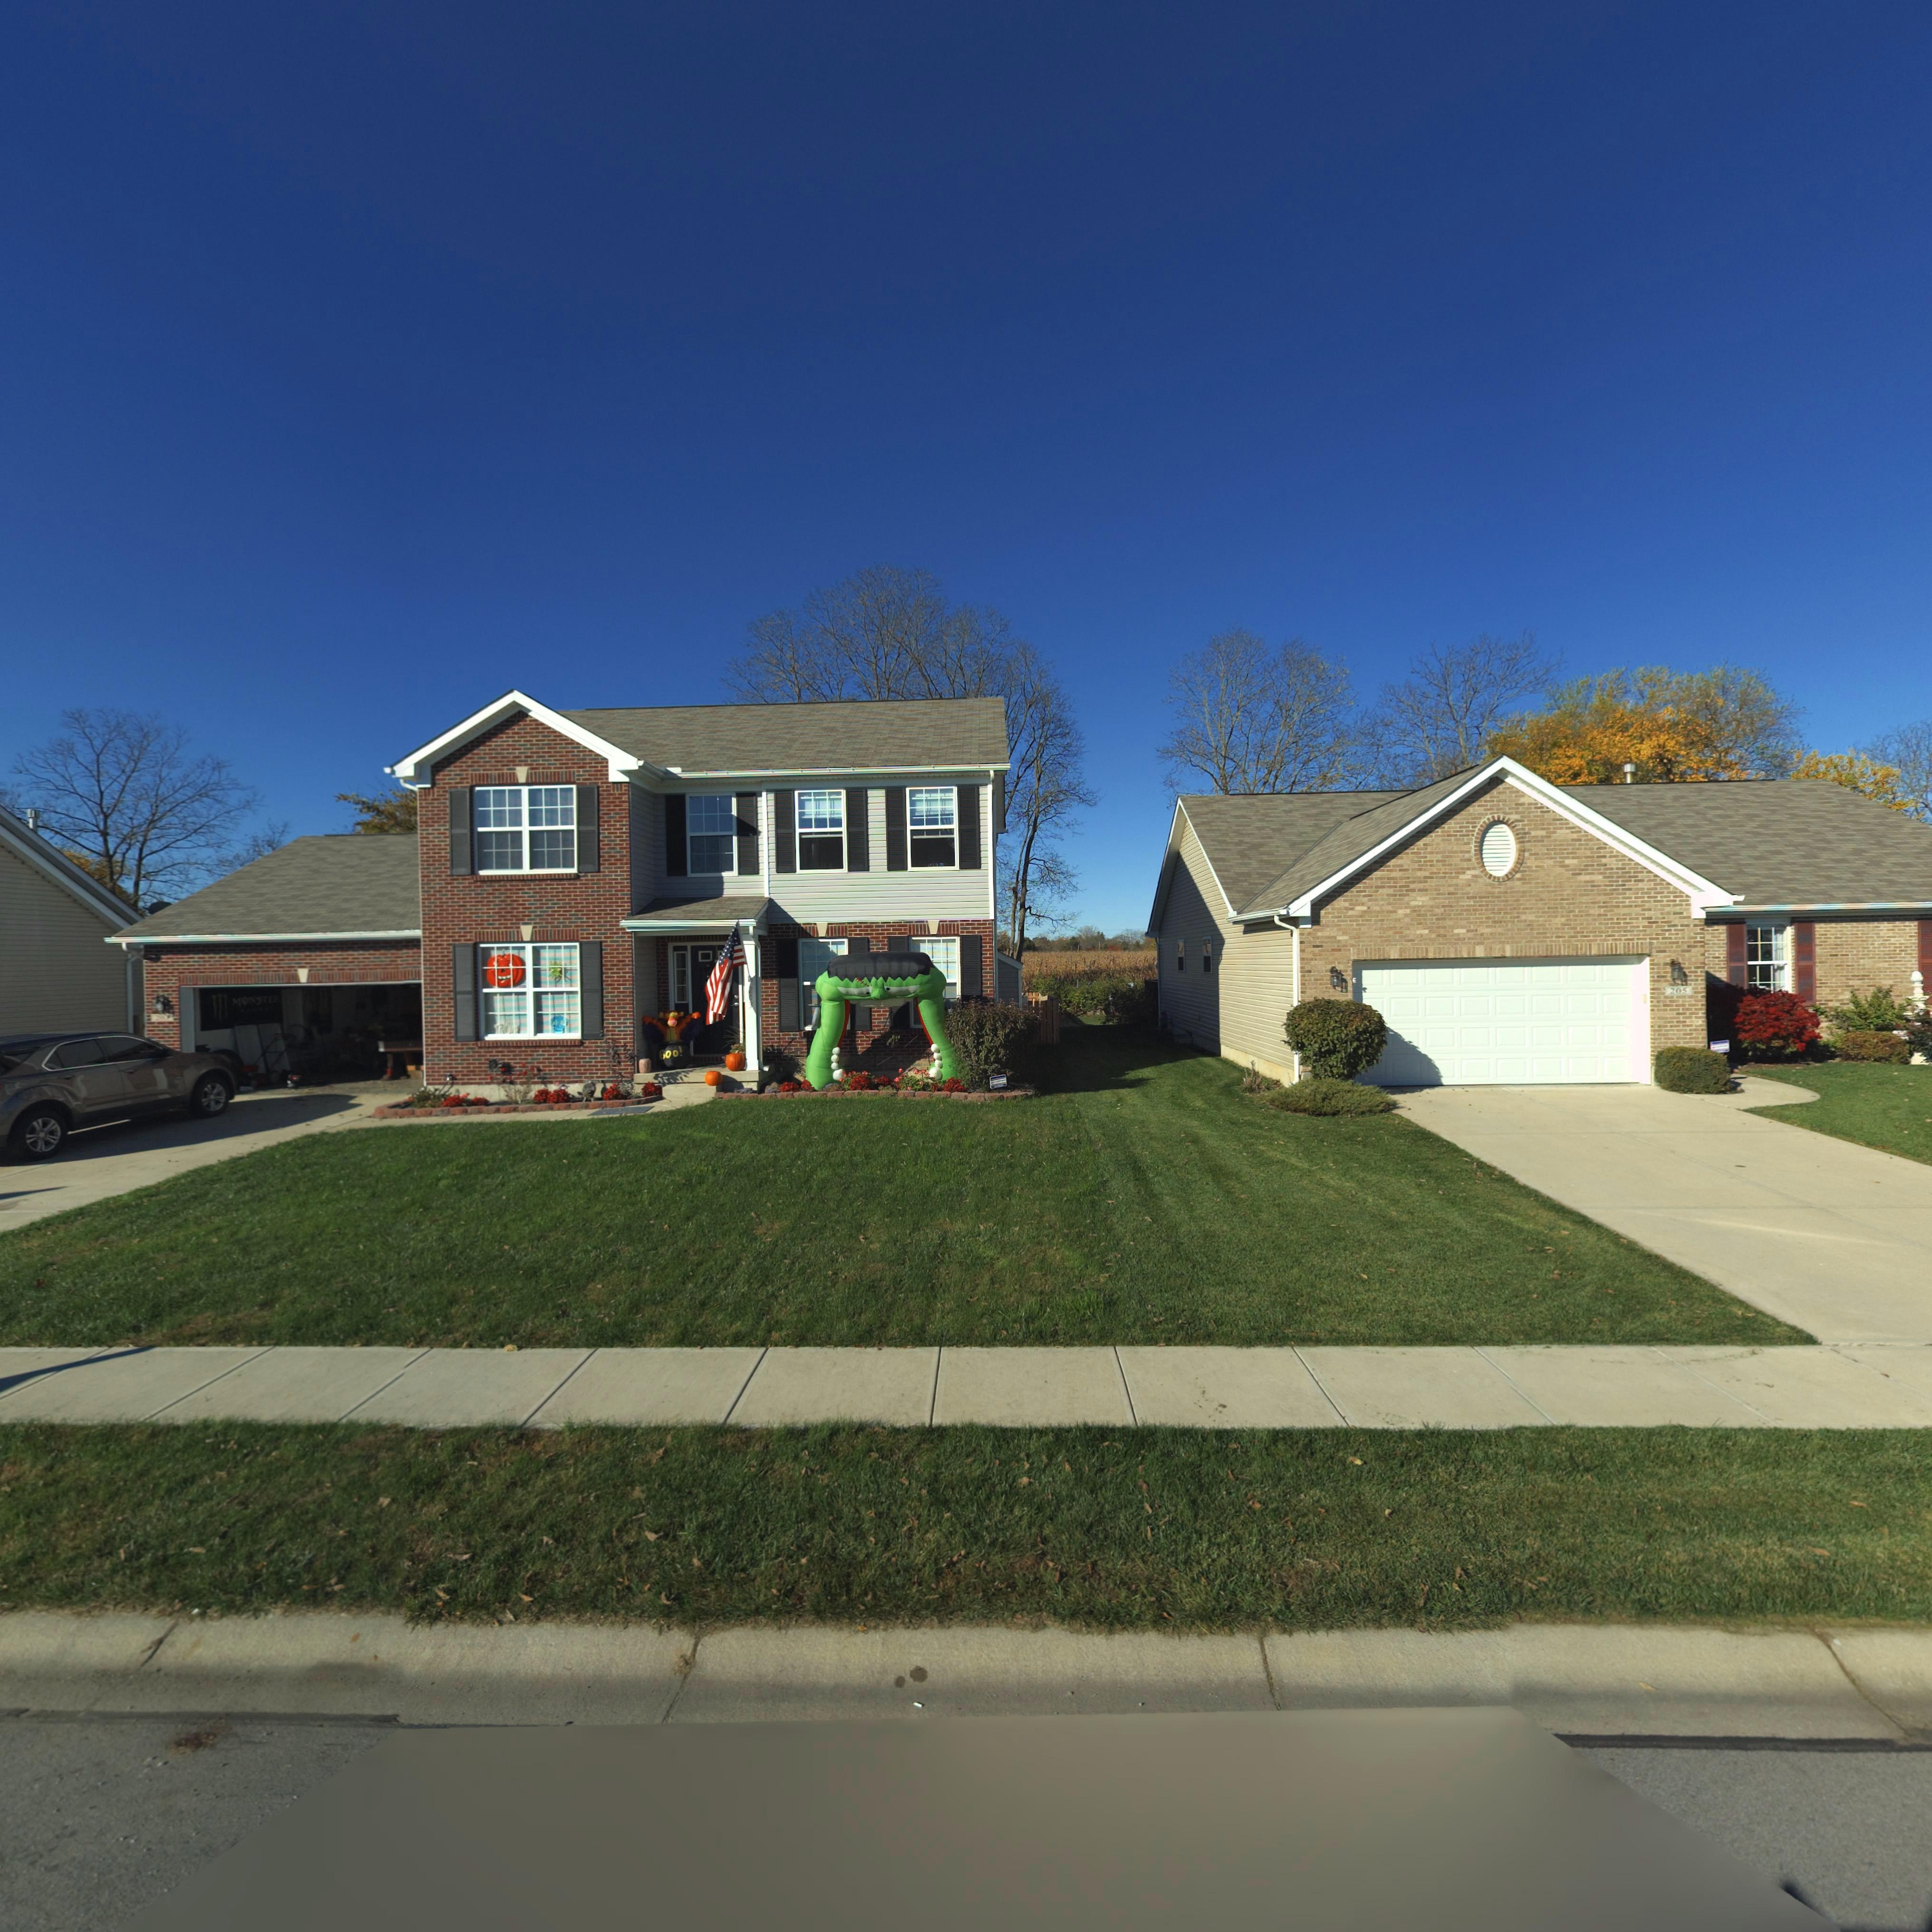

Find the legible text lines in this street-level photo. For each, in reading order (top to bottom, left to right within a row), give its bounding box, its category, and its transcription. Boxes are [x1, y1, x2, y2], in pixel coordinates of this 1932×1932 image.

[1669, 987, 1687, 995] StreetNumber: 205